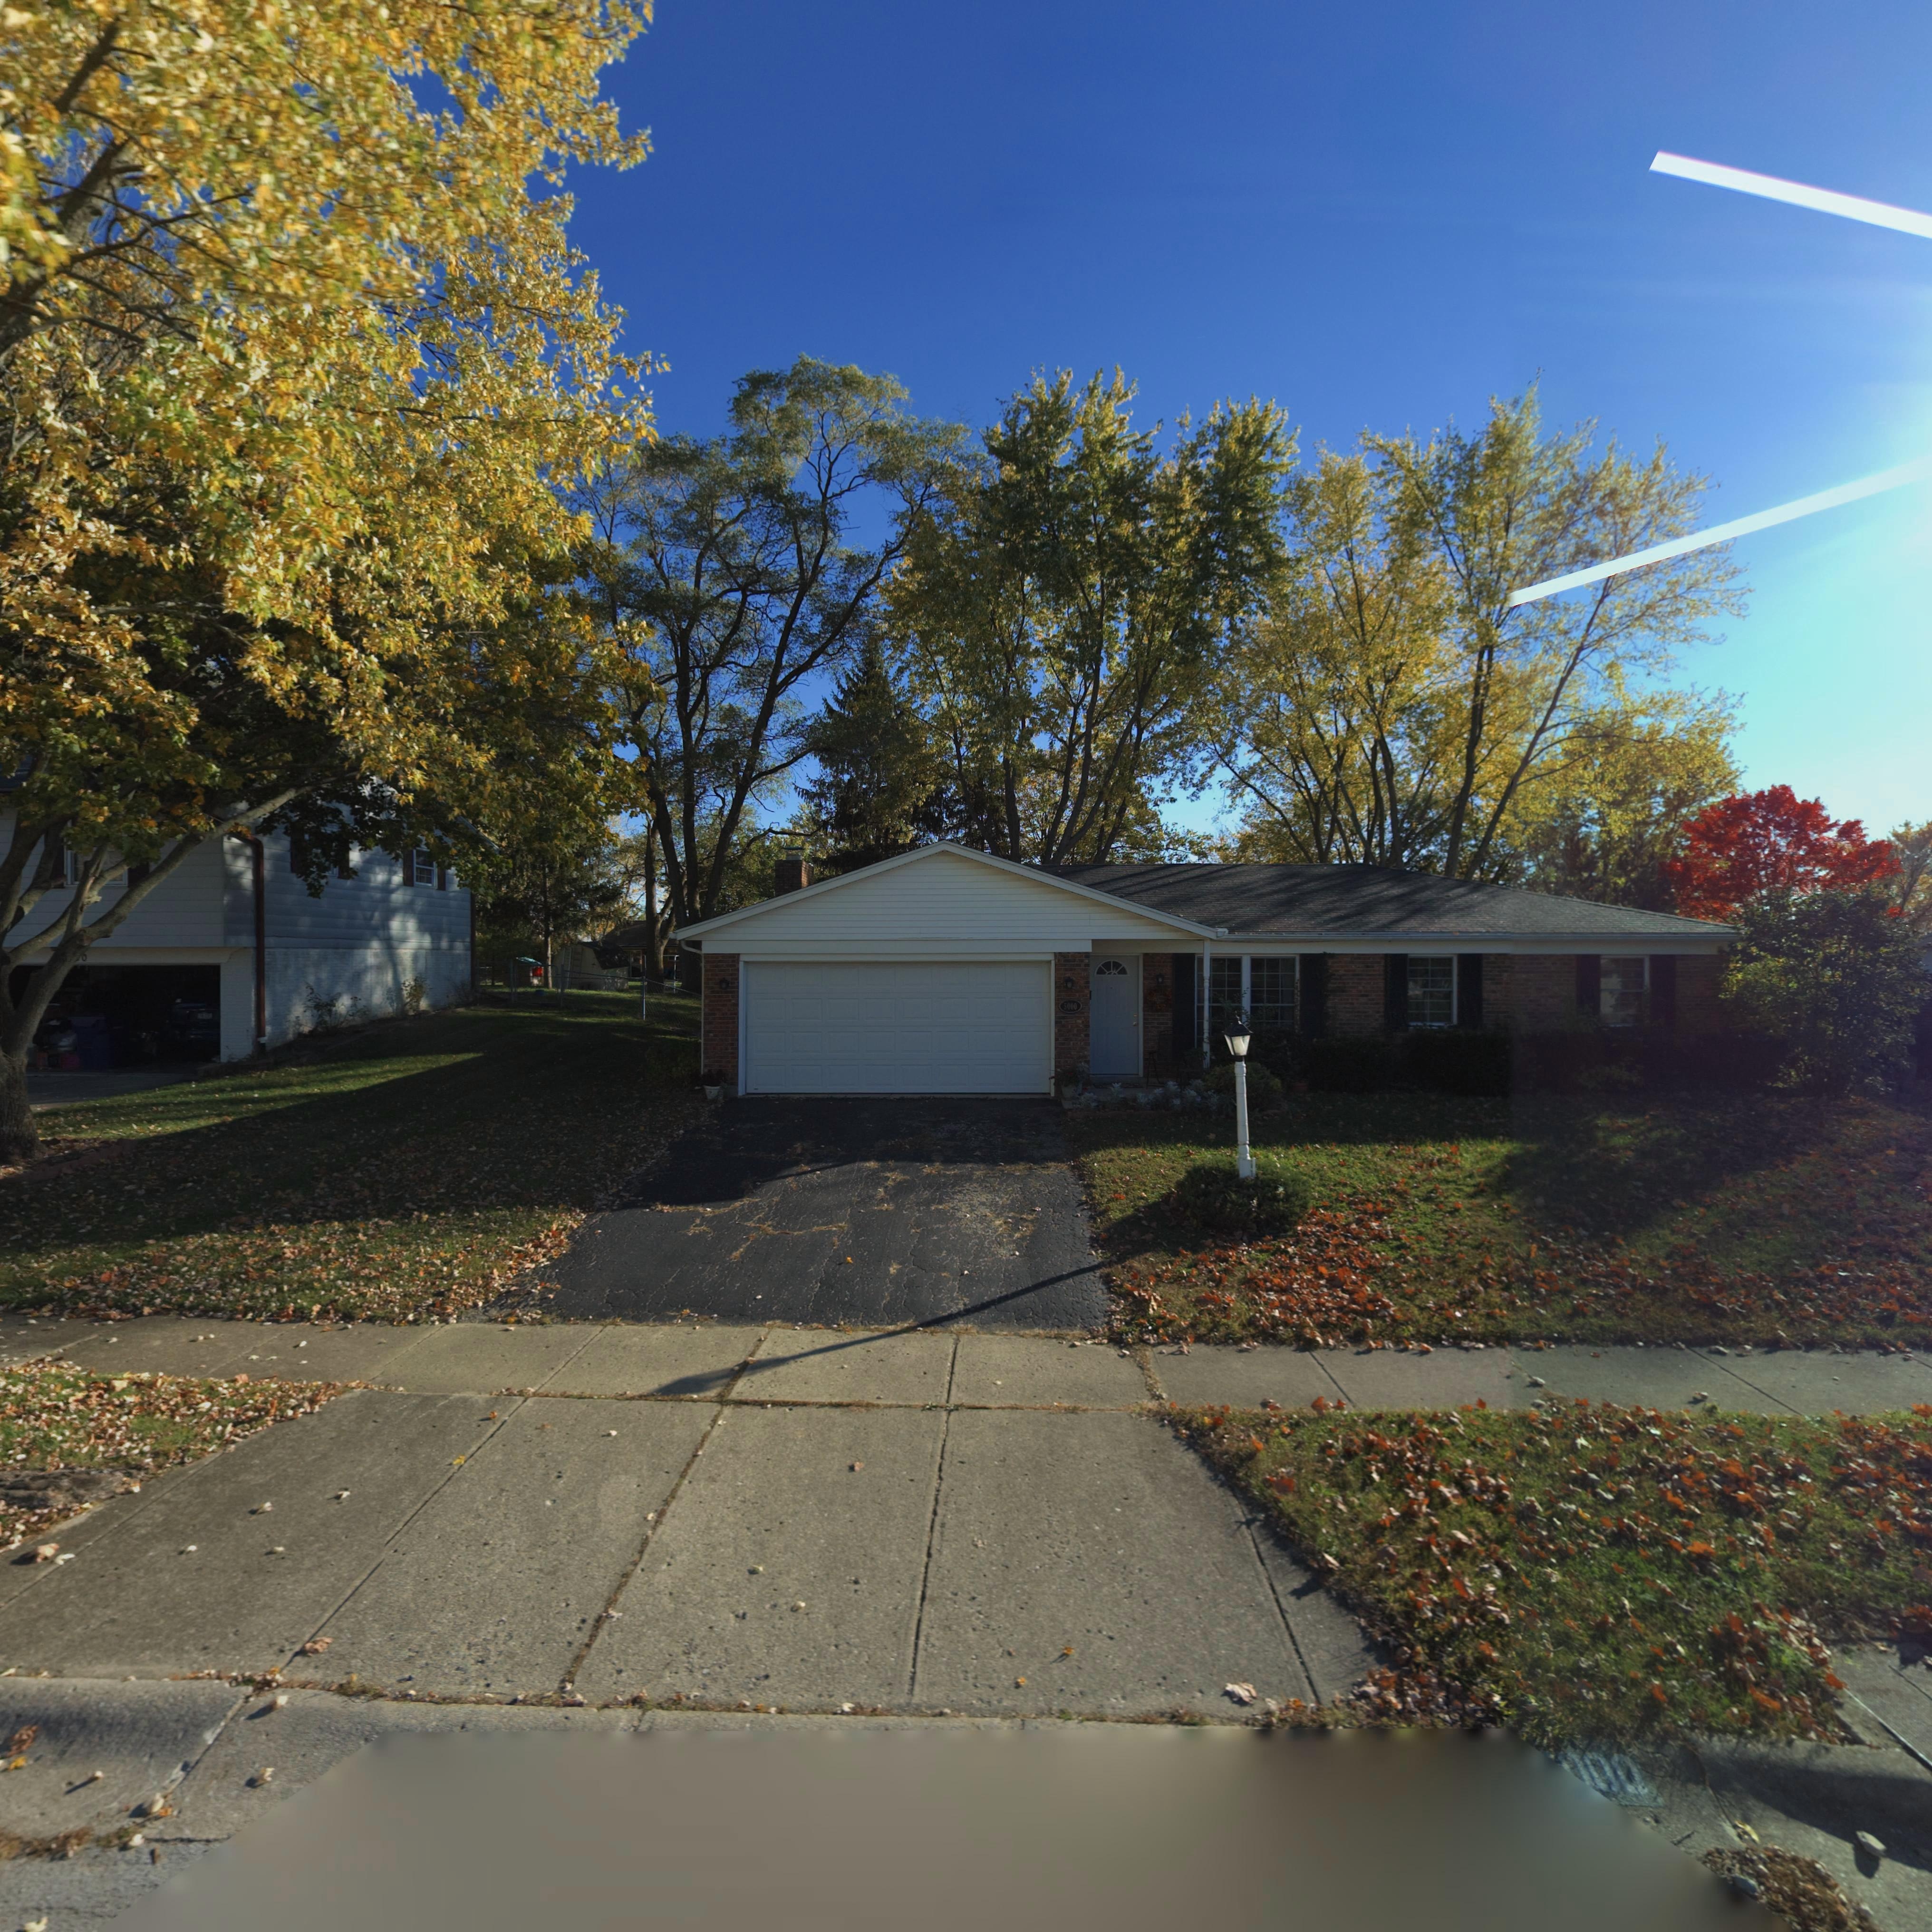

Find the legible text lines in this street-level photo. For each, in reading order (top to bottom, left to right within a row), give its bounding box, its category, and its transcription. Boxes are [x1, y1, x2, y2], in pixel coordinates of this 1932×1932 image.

[81, 949, 87, 962] StreetNumber: 6
[1063, 1002, 1078, 1010] StreetNumber: 5000
[1580, 1751, 1651, 1795] StreetNumber: 00